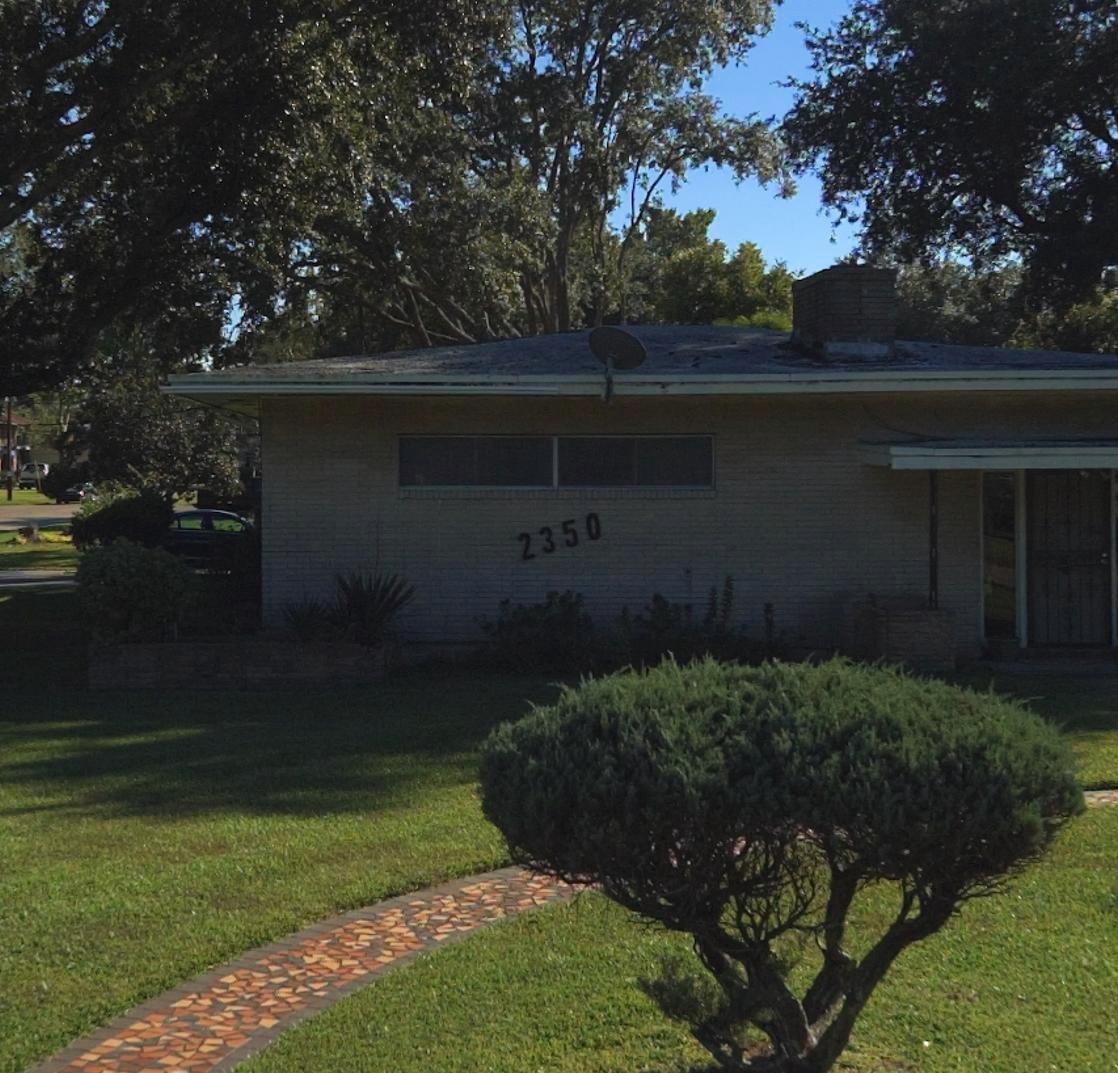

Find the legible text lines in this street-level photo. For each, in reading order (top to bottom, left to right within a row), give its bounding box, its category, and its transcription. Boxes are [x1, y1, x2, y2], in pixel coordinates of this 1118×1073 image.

[516, 508, 604, 565] StreetNumber: 2350